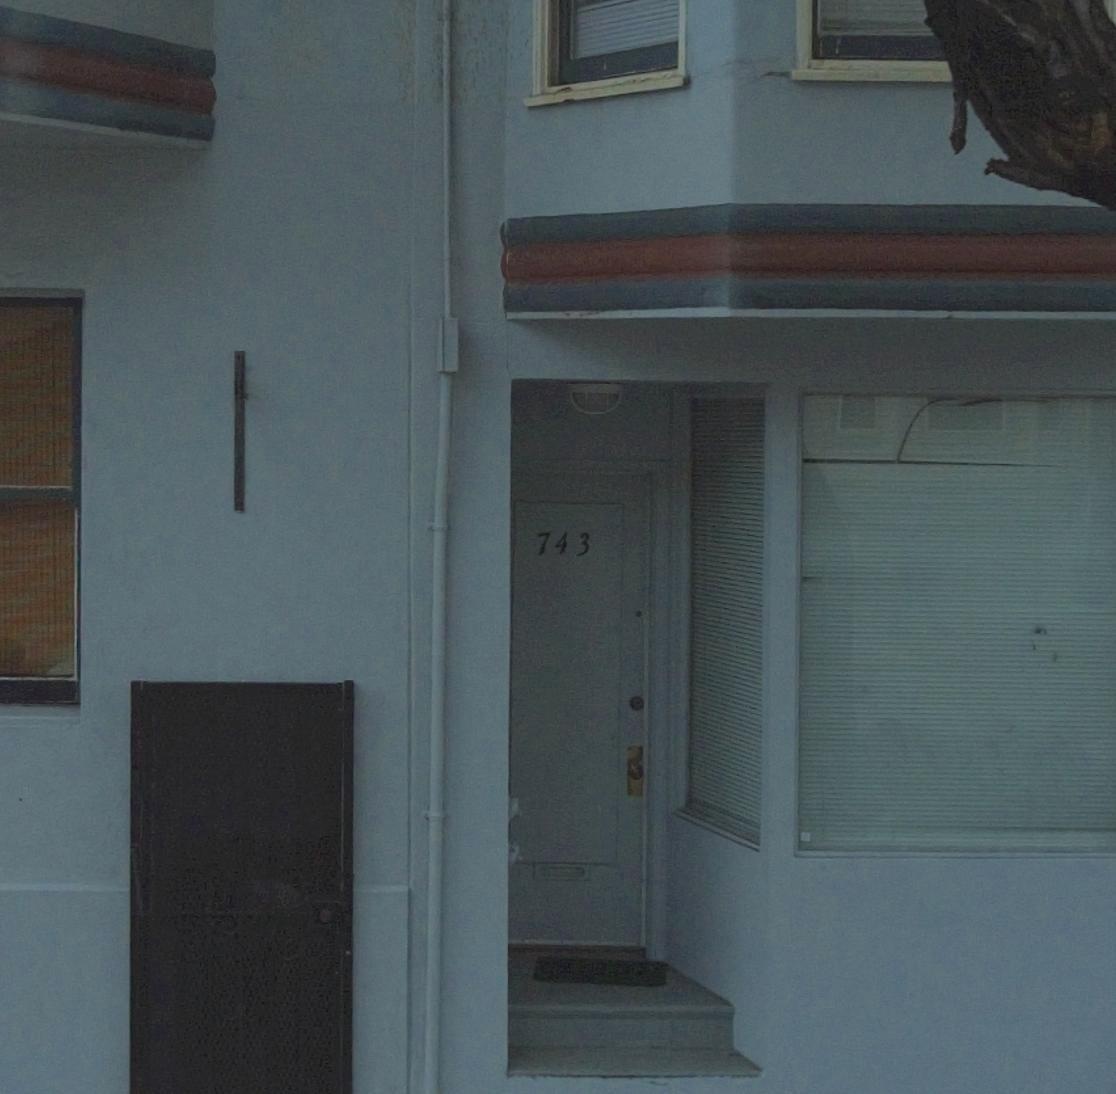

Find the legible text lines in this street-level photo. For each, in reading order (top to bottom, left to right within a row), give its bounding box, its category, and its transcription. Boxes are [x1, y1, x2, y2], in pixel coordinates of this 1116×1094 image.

[534, 529, 592, 558] StreetNumber: 743